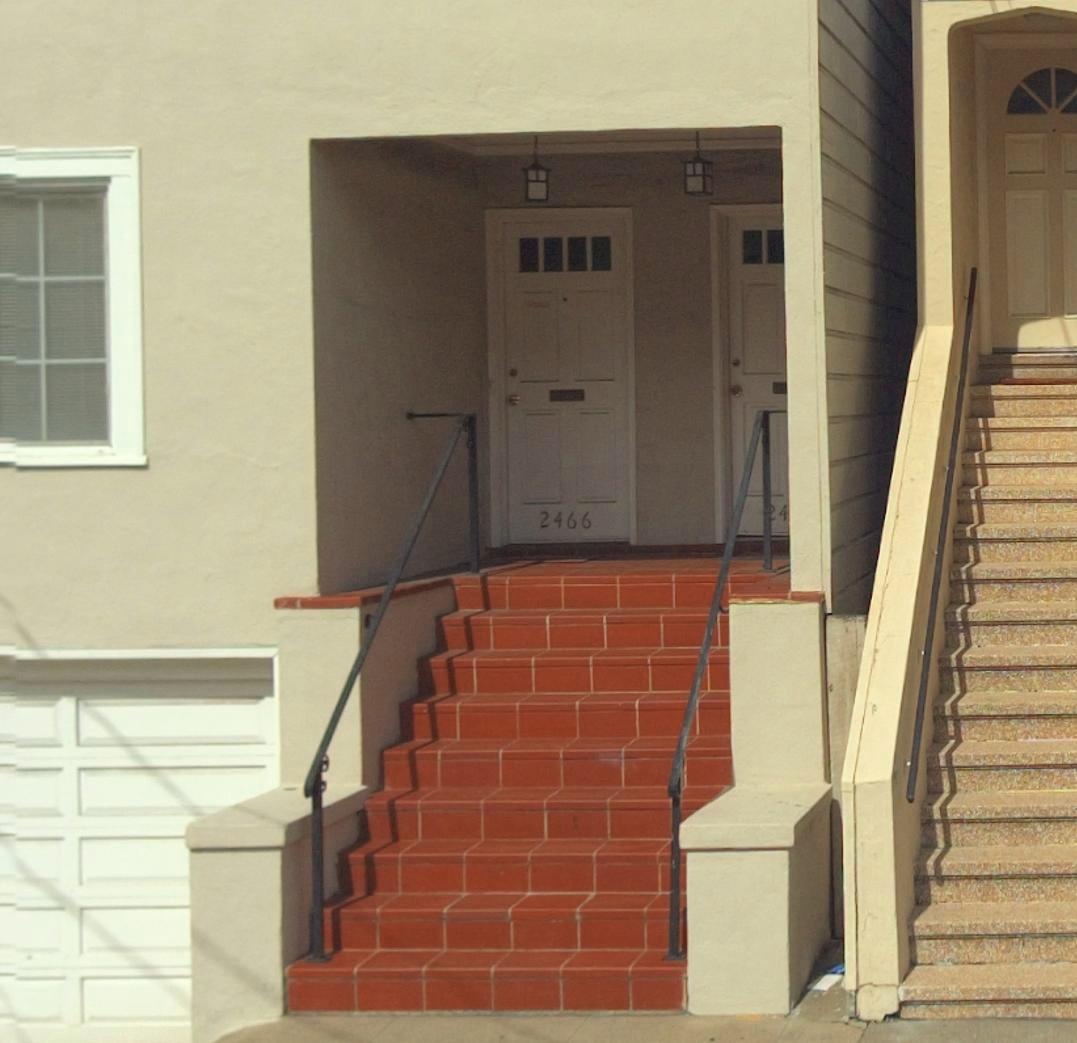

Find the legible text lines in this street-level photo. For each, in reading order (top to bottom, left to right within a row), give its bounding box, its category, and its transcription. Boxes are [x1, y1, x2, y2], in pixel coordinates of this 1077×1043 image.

[538, 508, 595, 532] StreetNumber: 2466
[776, 501, 791, 525] StreetNumber: 4